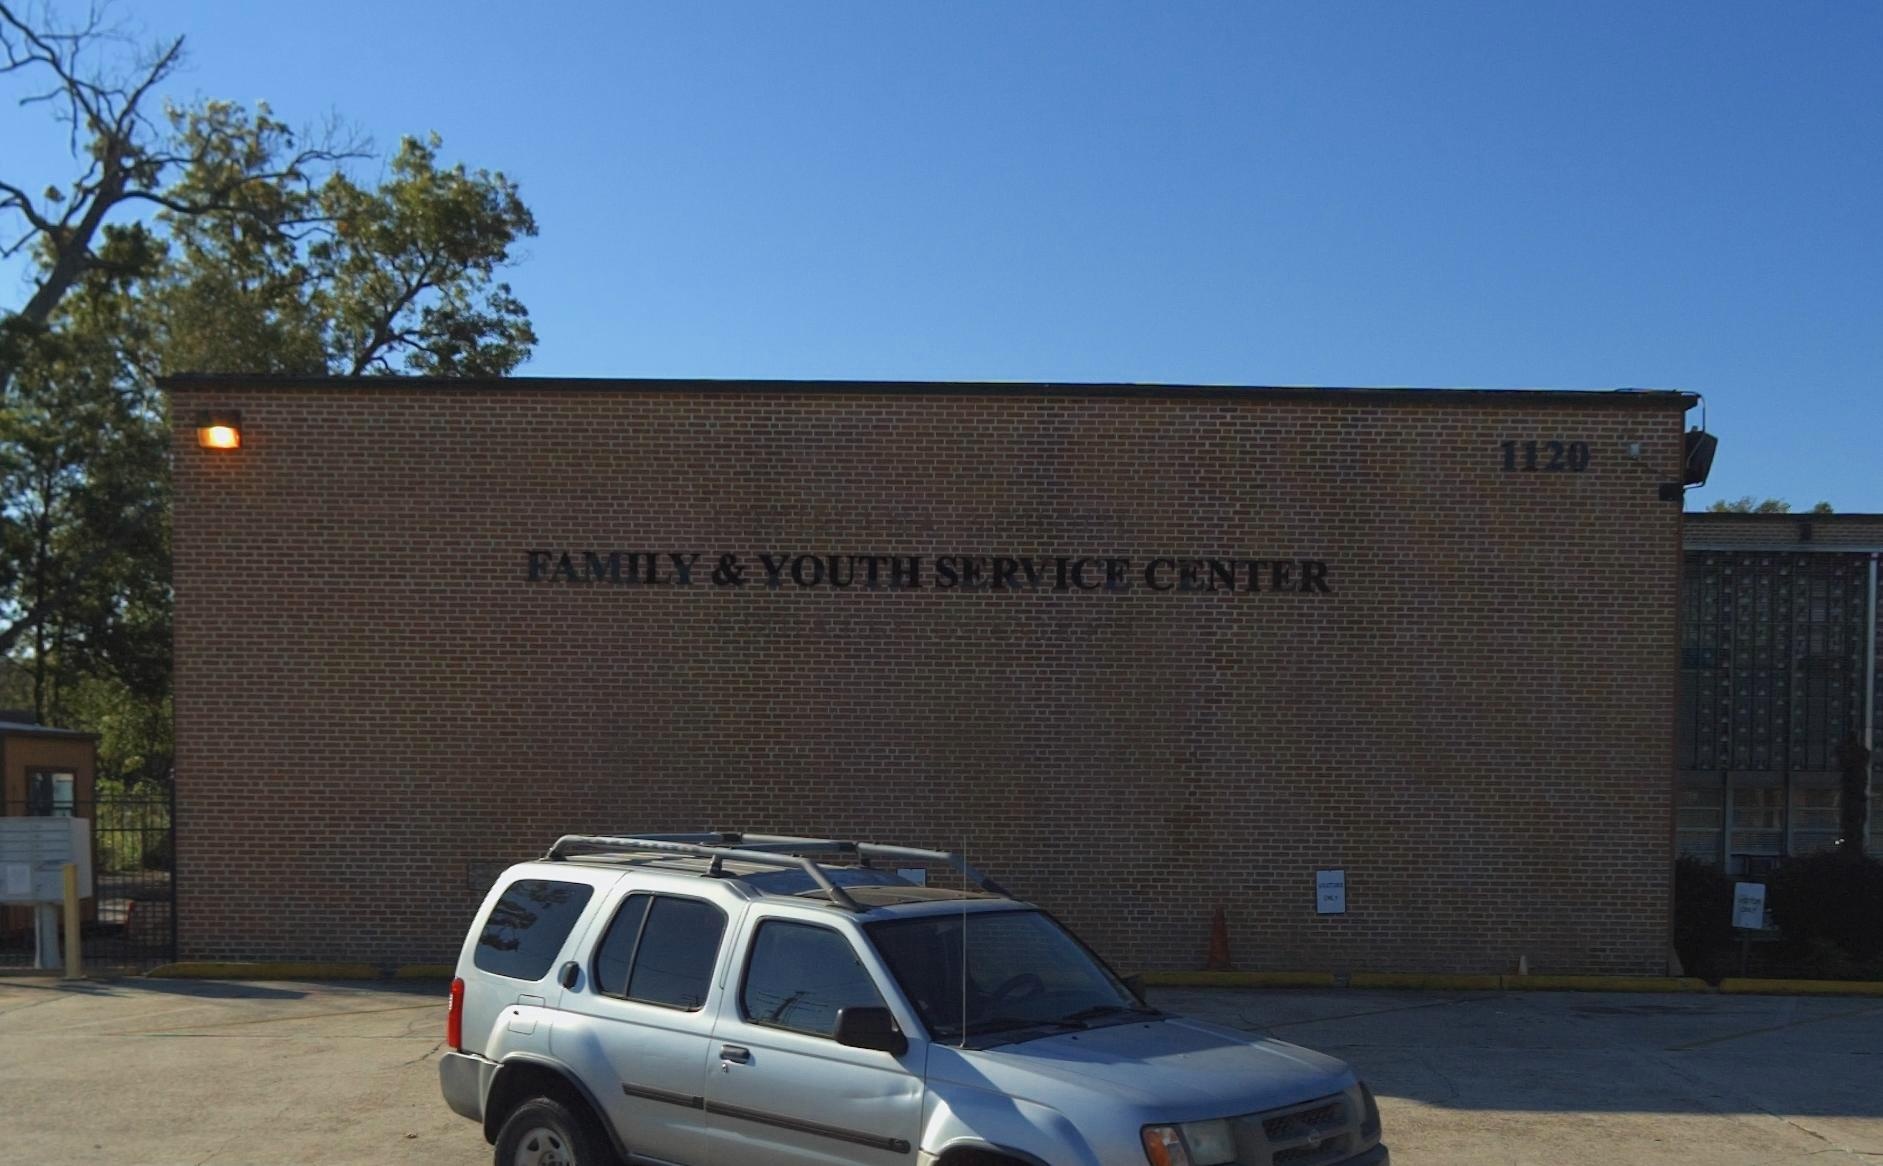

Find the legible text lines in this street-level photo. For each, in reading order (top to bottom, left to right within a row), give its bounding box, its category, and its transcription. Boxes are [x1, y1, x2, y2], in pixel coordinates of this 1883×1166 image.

[1497, 436, 1593, 475] StreetNumber: 1120
[519, 544, 1338, 597] BusinessName: FAMILY & YOUTH SERVICE CENTER